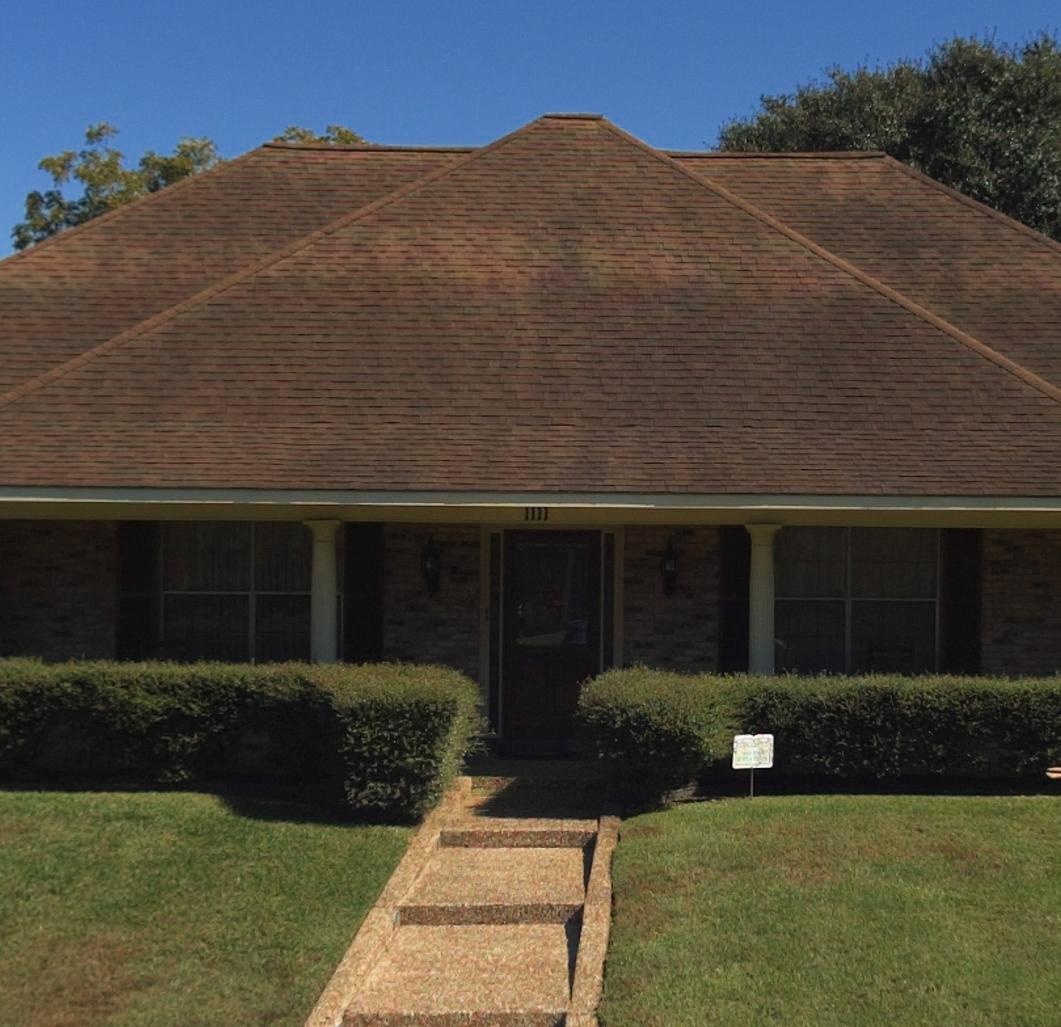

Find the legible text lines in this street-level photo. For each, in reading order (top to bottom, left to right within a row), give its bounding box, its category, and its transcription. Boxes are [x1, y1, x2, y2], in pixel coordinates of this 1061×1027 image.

[521, 505, 551, 523] StreetNumber: 1111